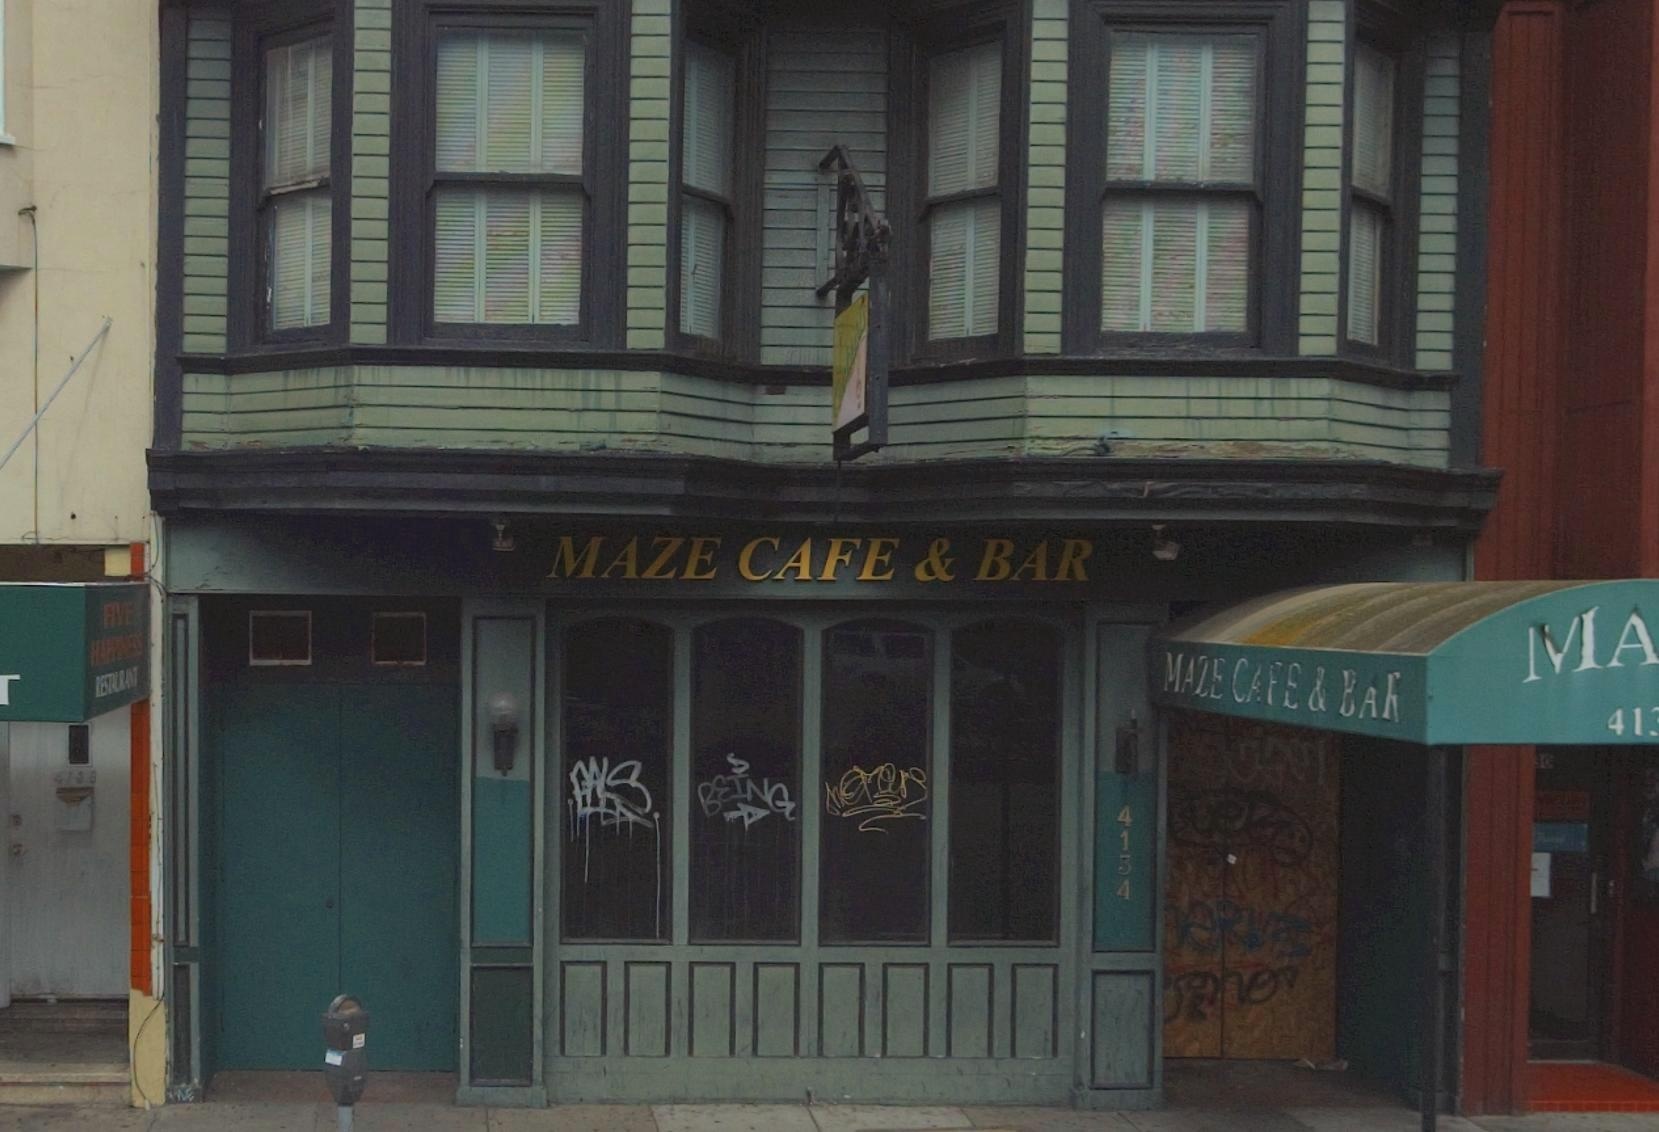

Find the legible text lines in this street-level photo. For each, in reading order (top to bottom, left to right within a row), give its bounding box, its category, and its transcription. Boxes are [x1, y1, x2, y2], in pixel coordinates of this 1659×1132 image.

[542, 531, 1096, 586] BusinessName: MAZE CAFE & BAR
[88, 629, 146, 670] BusinessName: HAPP**ESS
[100, 597, 138, 632] BusinessName: FIVE
[1518, 594, 1658, 690] BusinessName: *A
[90, 662, 142, 703] None: RES***RA**
[1161, 647, 1408, 729] BusinessName: MAZE CAFE & B**
[1599, 699, 1650, 740] StreetNumber: 41
[1538, 752, 1553, 773] None: 0
[690, 770, 801, 827] None: BEING
[1112, 800, 1136, 911] StreetNumber: 4134